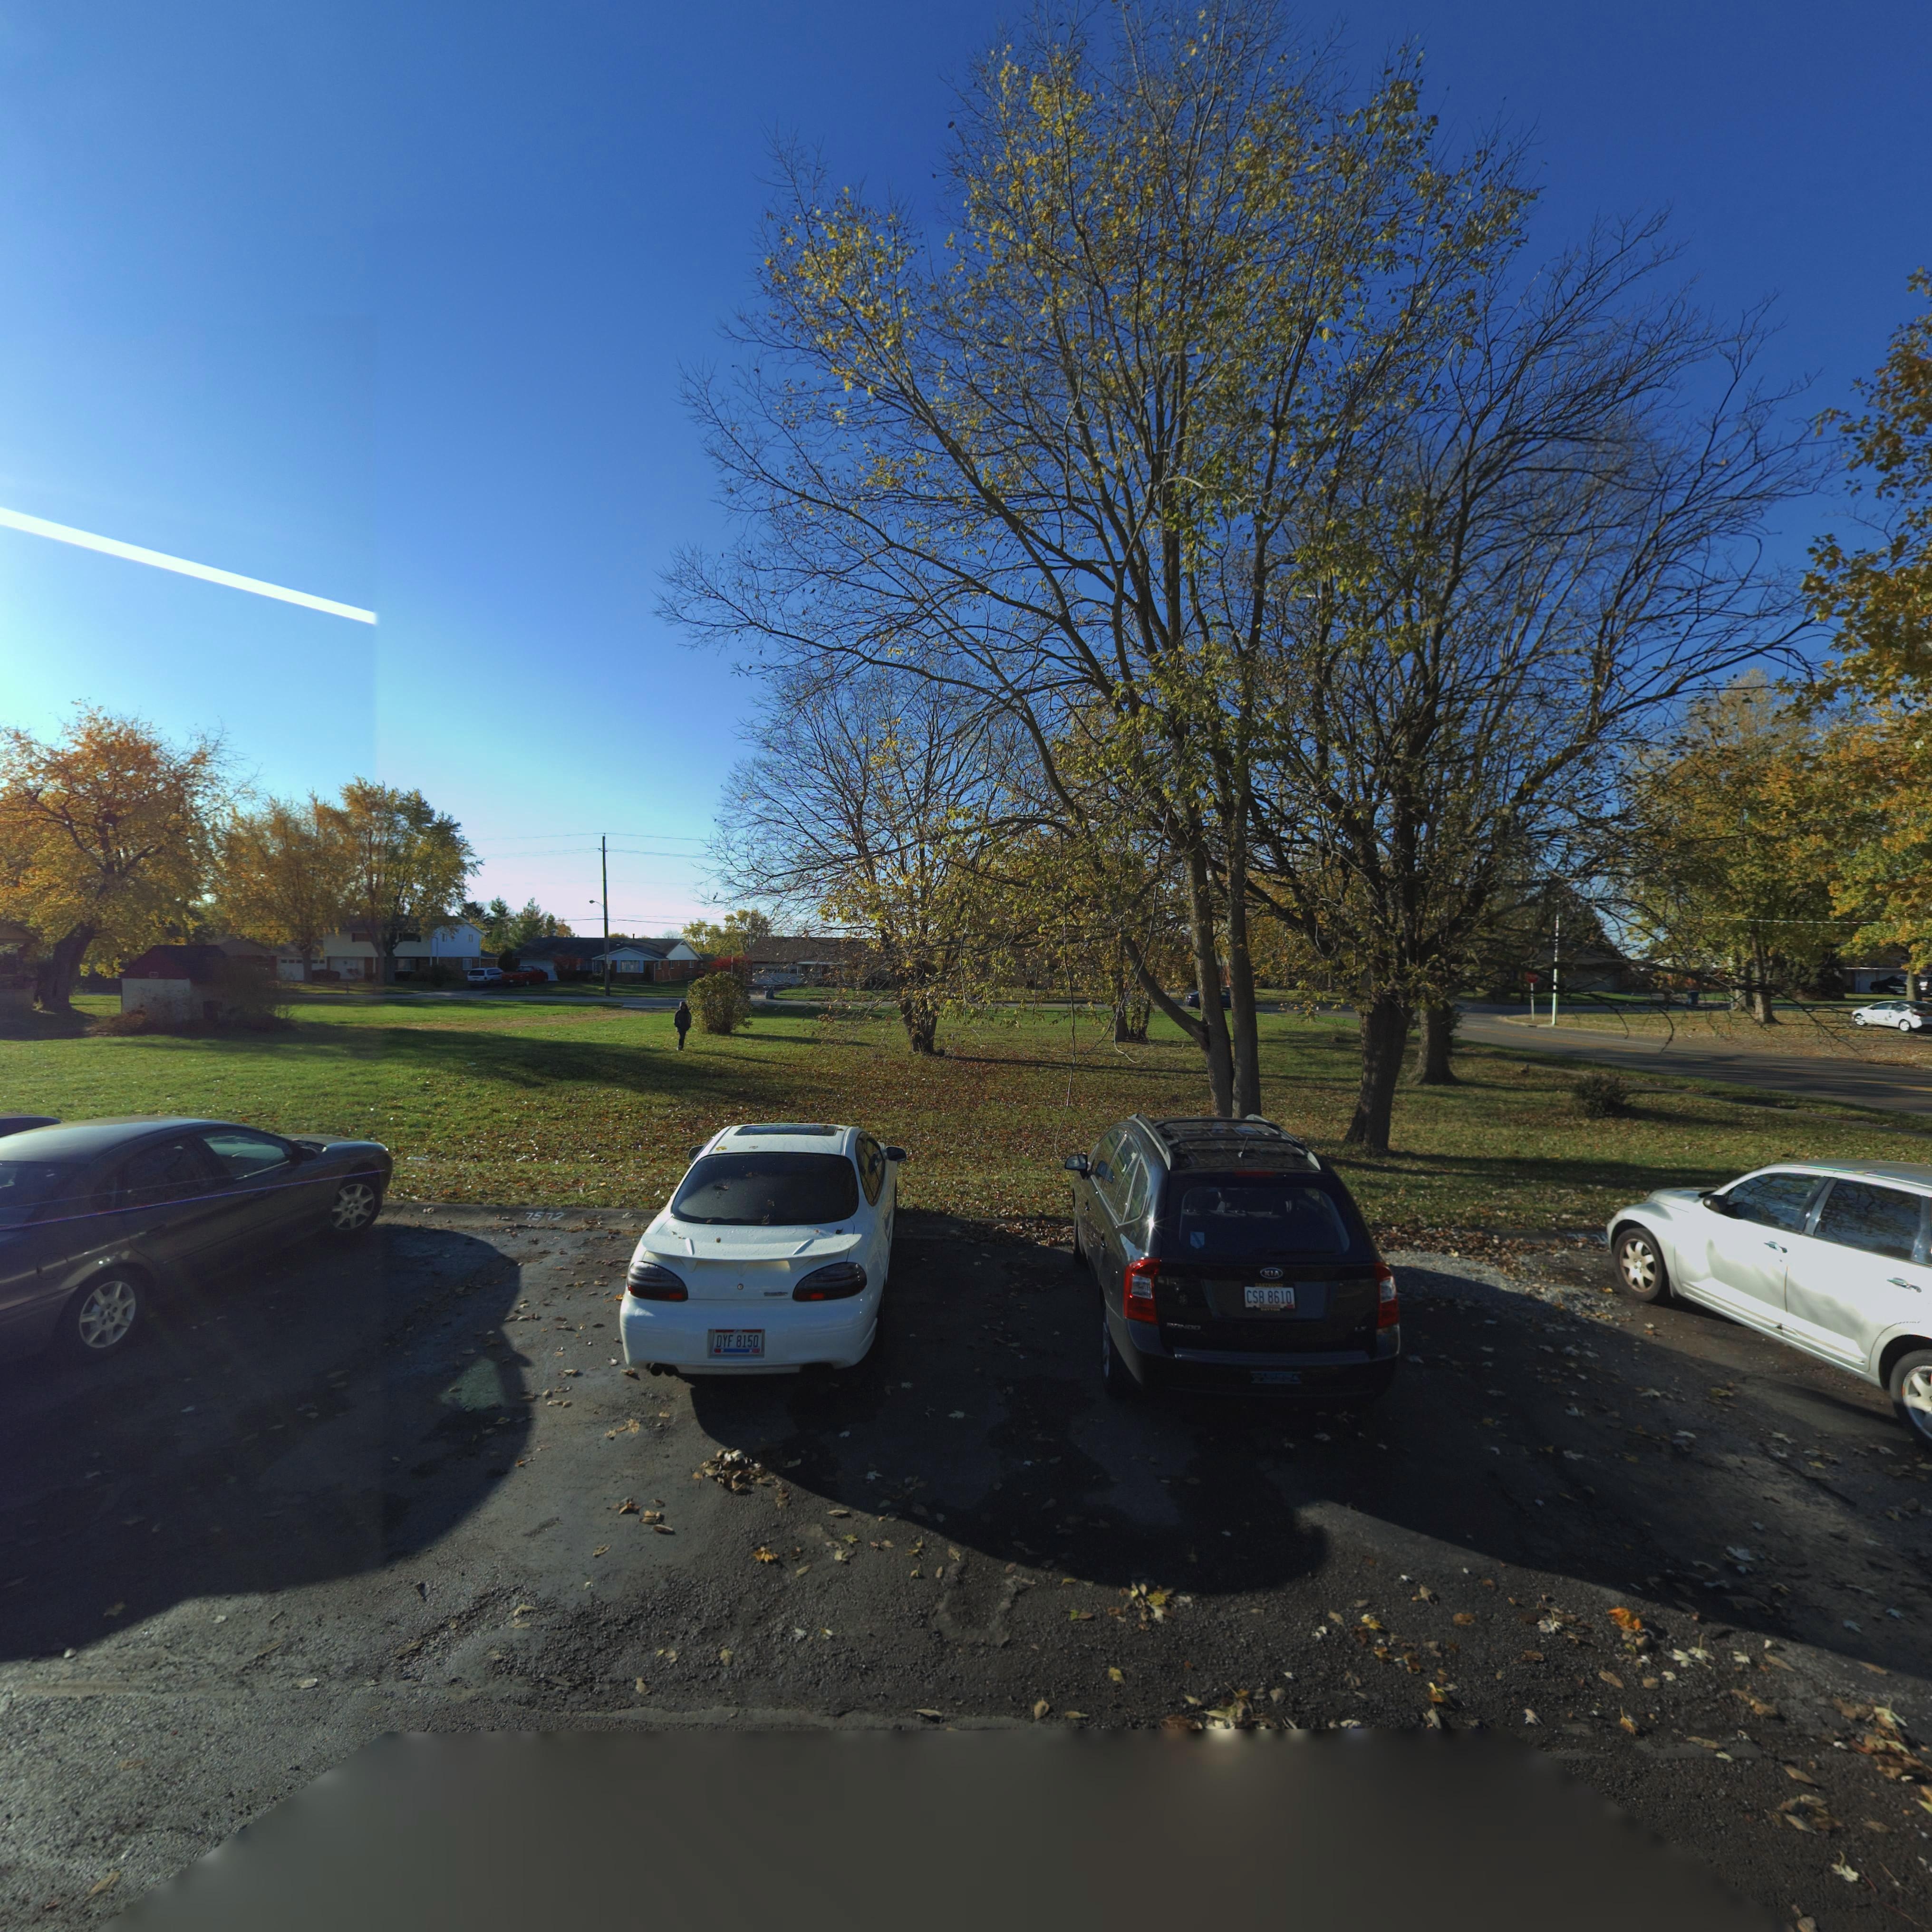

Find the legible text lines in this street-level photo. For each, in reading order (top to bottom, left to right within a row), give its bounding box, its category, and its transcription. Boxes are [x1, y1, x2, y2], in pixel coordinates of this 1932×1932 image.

[523, 1210, 566, 1222] StreetNumber: 7572
[1588, 1233, 1606, 1244] StreetNumber: 7
[1245, 1288, 1294, 1306] None: CSB 8610
[715, 1333, 759, 1350] None: DYF 8150